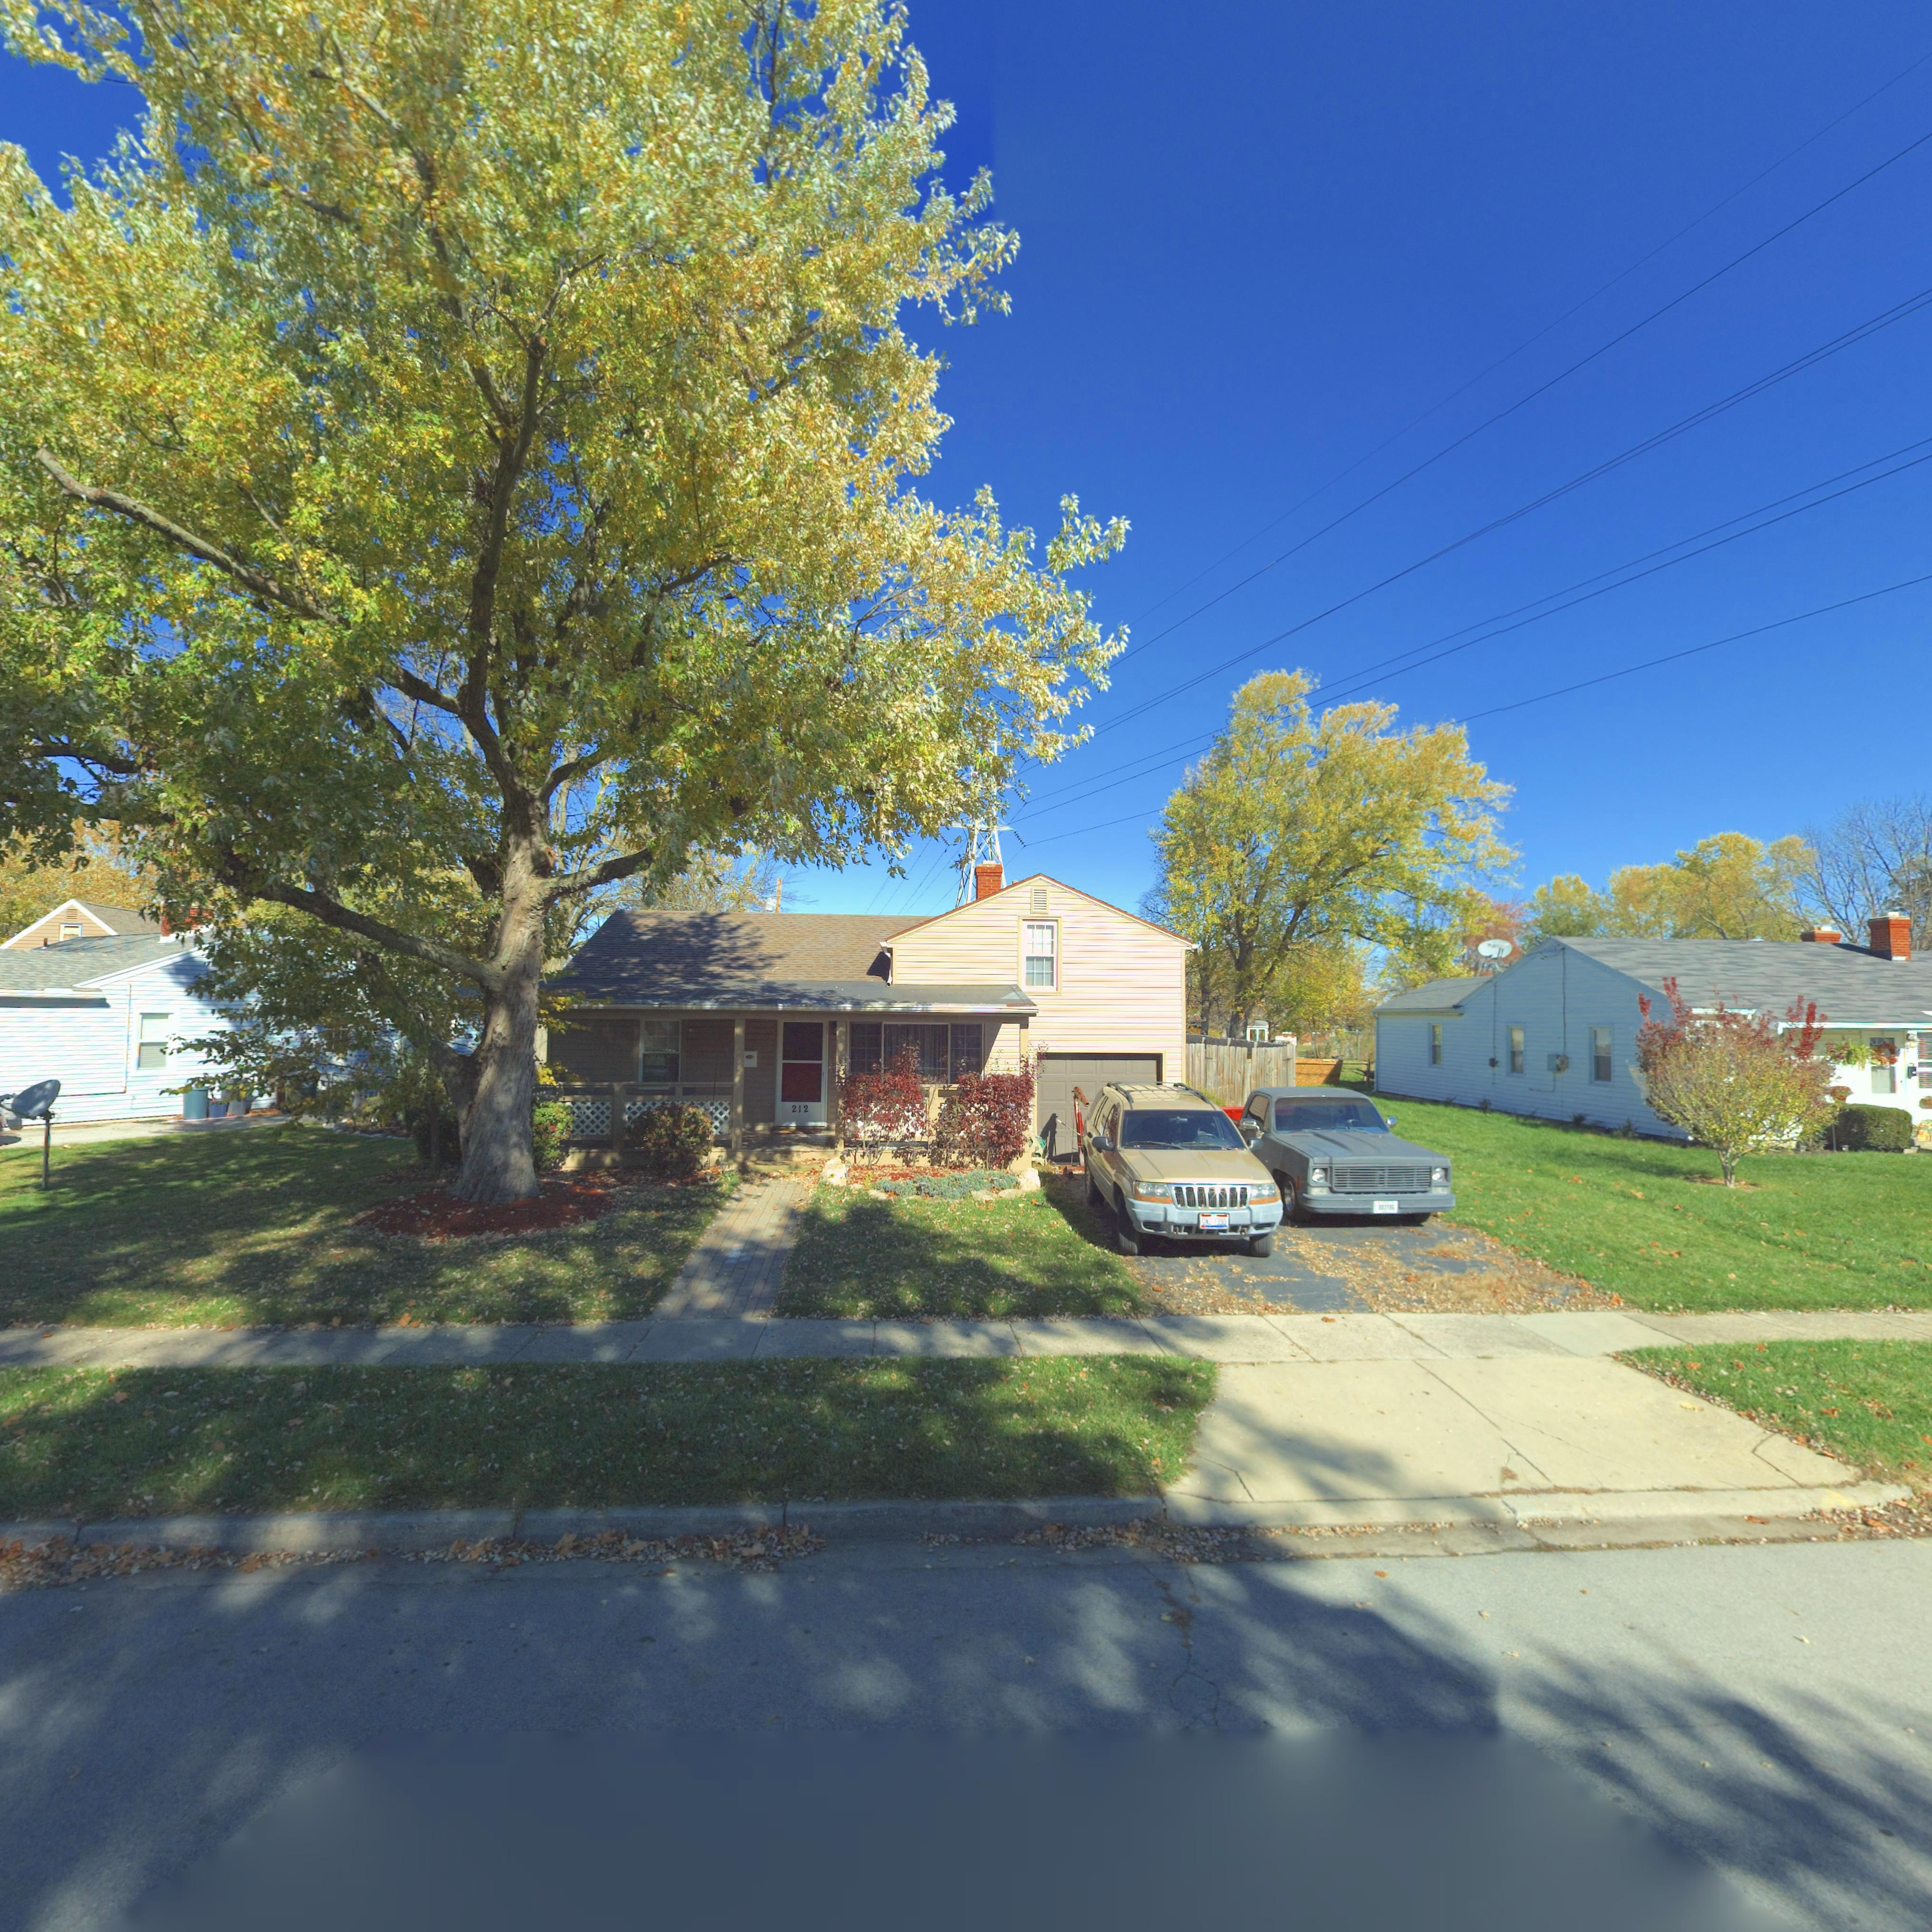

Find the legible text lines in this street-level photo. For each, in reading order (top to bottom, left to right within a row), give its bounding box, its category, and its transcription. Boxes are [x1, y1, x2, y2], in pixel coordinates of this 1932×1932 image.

[791, 1103, 810, 1113] StreetNumber: 212